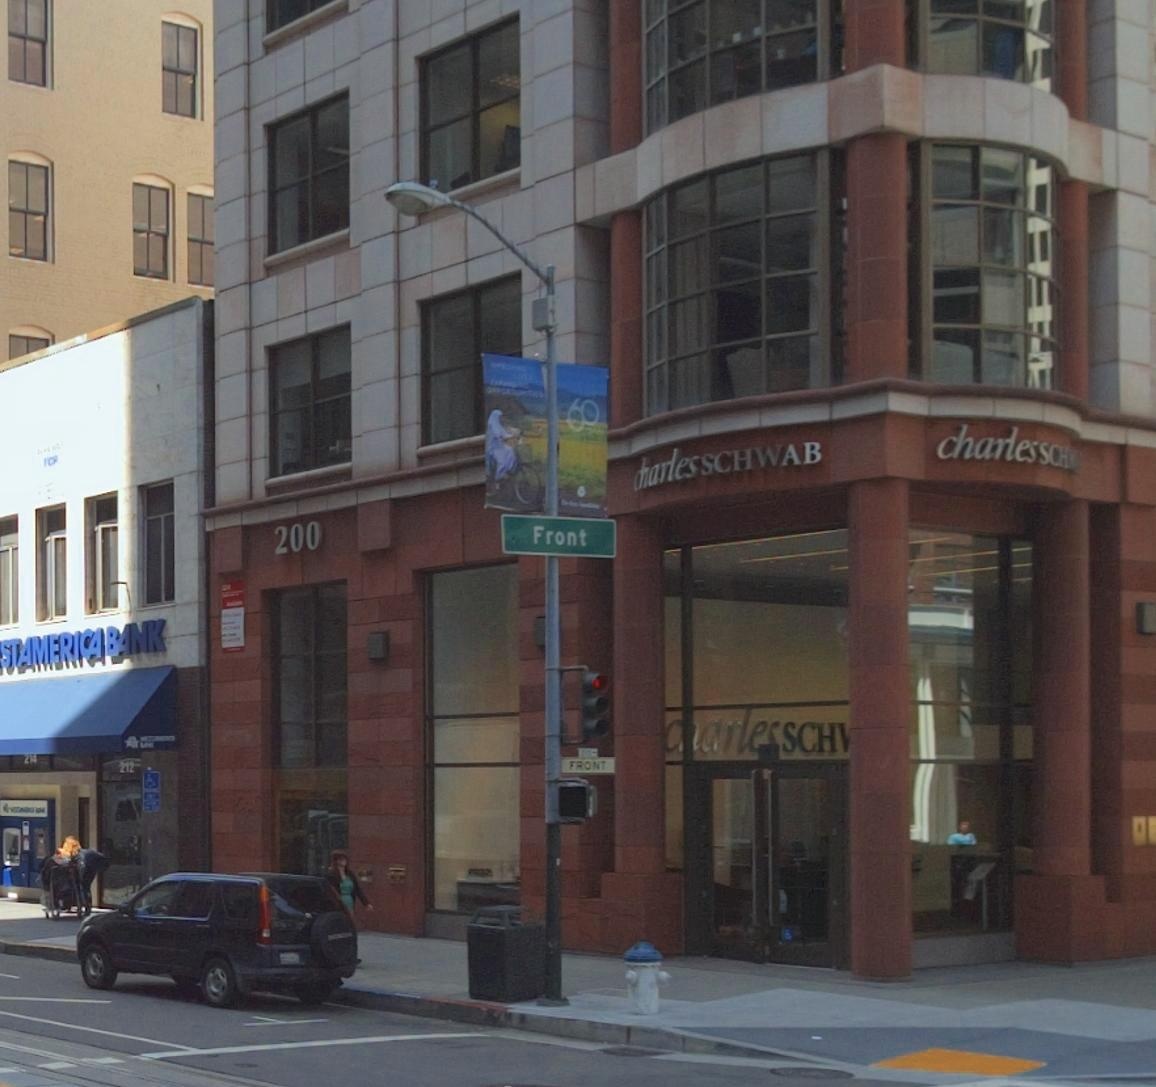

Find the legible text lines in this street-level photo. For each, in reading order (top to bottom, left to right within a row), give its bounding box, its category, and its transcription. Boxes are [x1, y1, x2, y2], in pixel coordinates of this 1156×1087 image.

[41, 454, 60, 470] None: FCP
[632, 439, 824, 493] BusinessName: charlesSCHWAB
[934, 423, 1068, 470] BusinessName: charlesSCH
[273, 518, 323, 556] StreetNumber: 200
[532, 523, 588, 548] StreetName: Front
[1, 617, 169, 672] BusinessName: STAMERICA BANK
[655, 702, 856, 755] BusinessName: c*arlesSCH*
[23, 753, 38, 764] StreetNumber: 214
[118, 760, 134, 774] StreetNumber: 212
[568, 759, 607, 771] StreetName: FRONT